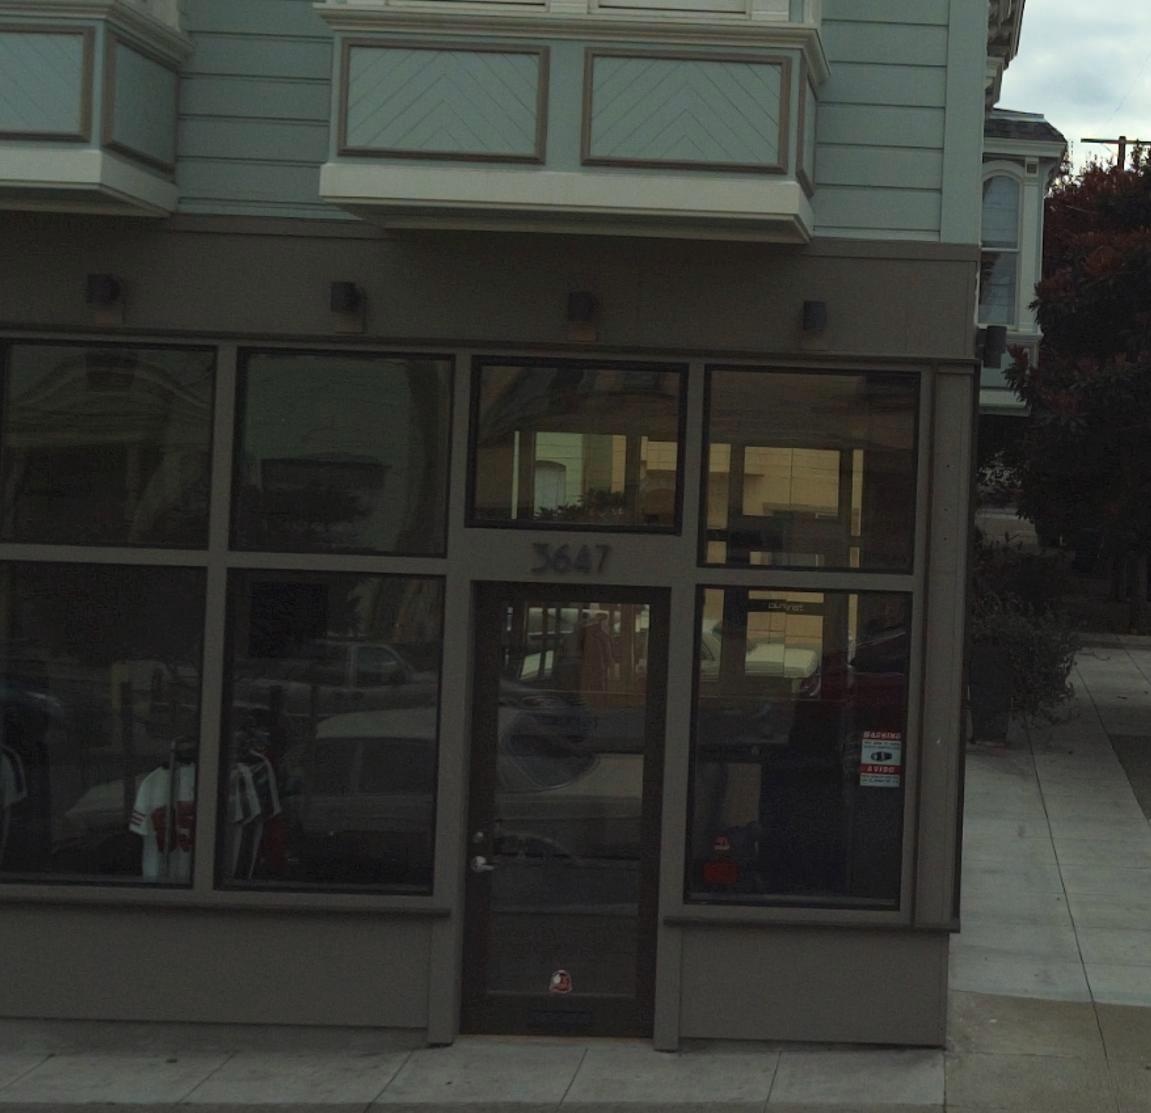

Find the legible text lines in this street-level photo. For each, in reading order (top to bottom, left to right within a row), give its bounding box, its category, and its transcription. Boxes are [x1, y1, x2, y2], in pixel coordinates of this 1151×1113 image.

[529, 538, 615, 575] StreetNumber: 3647